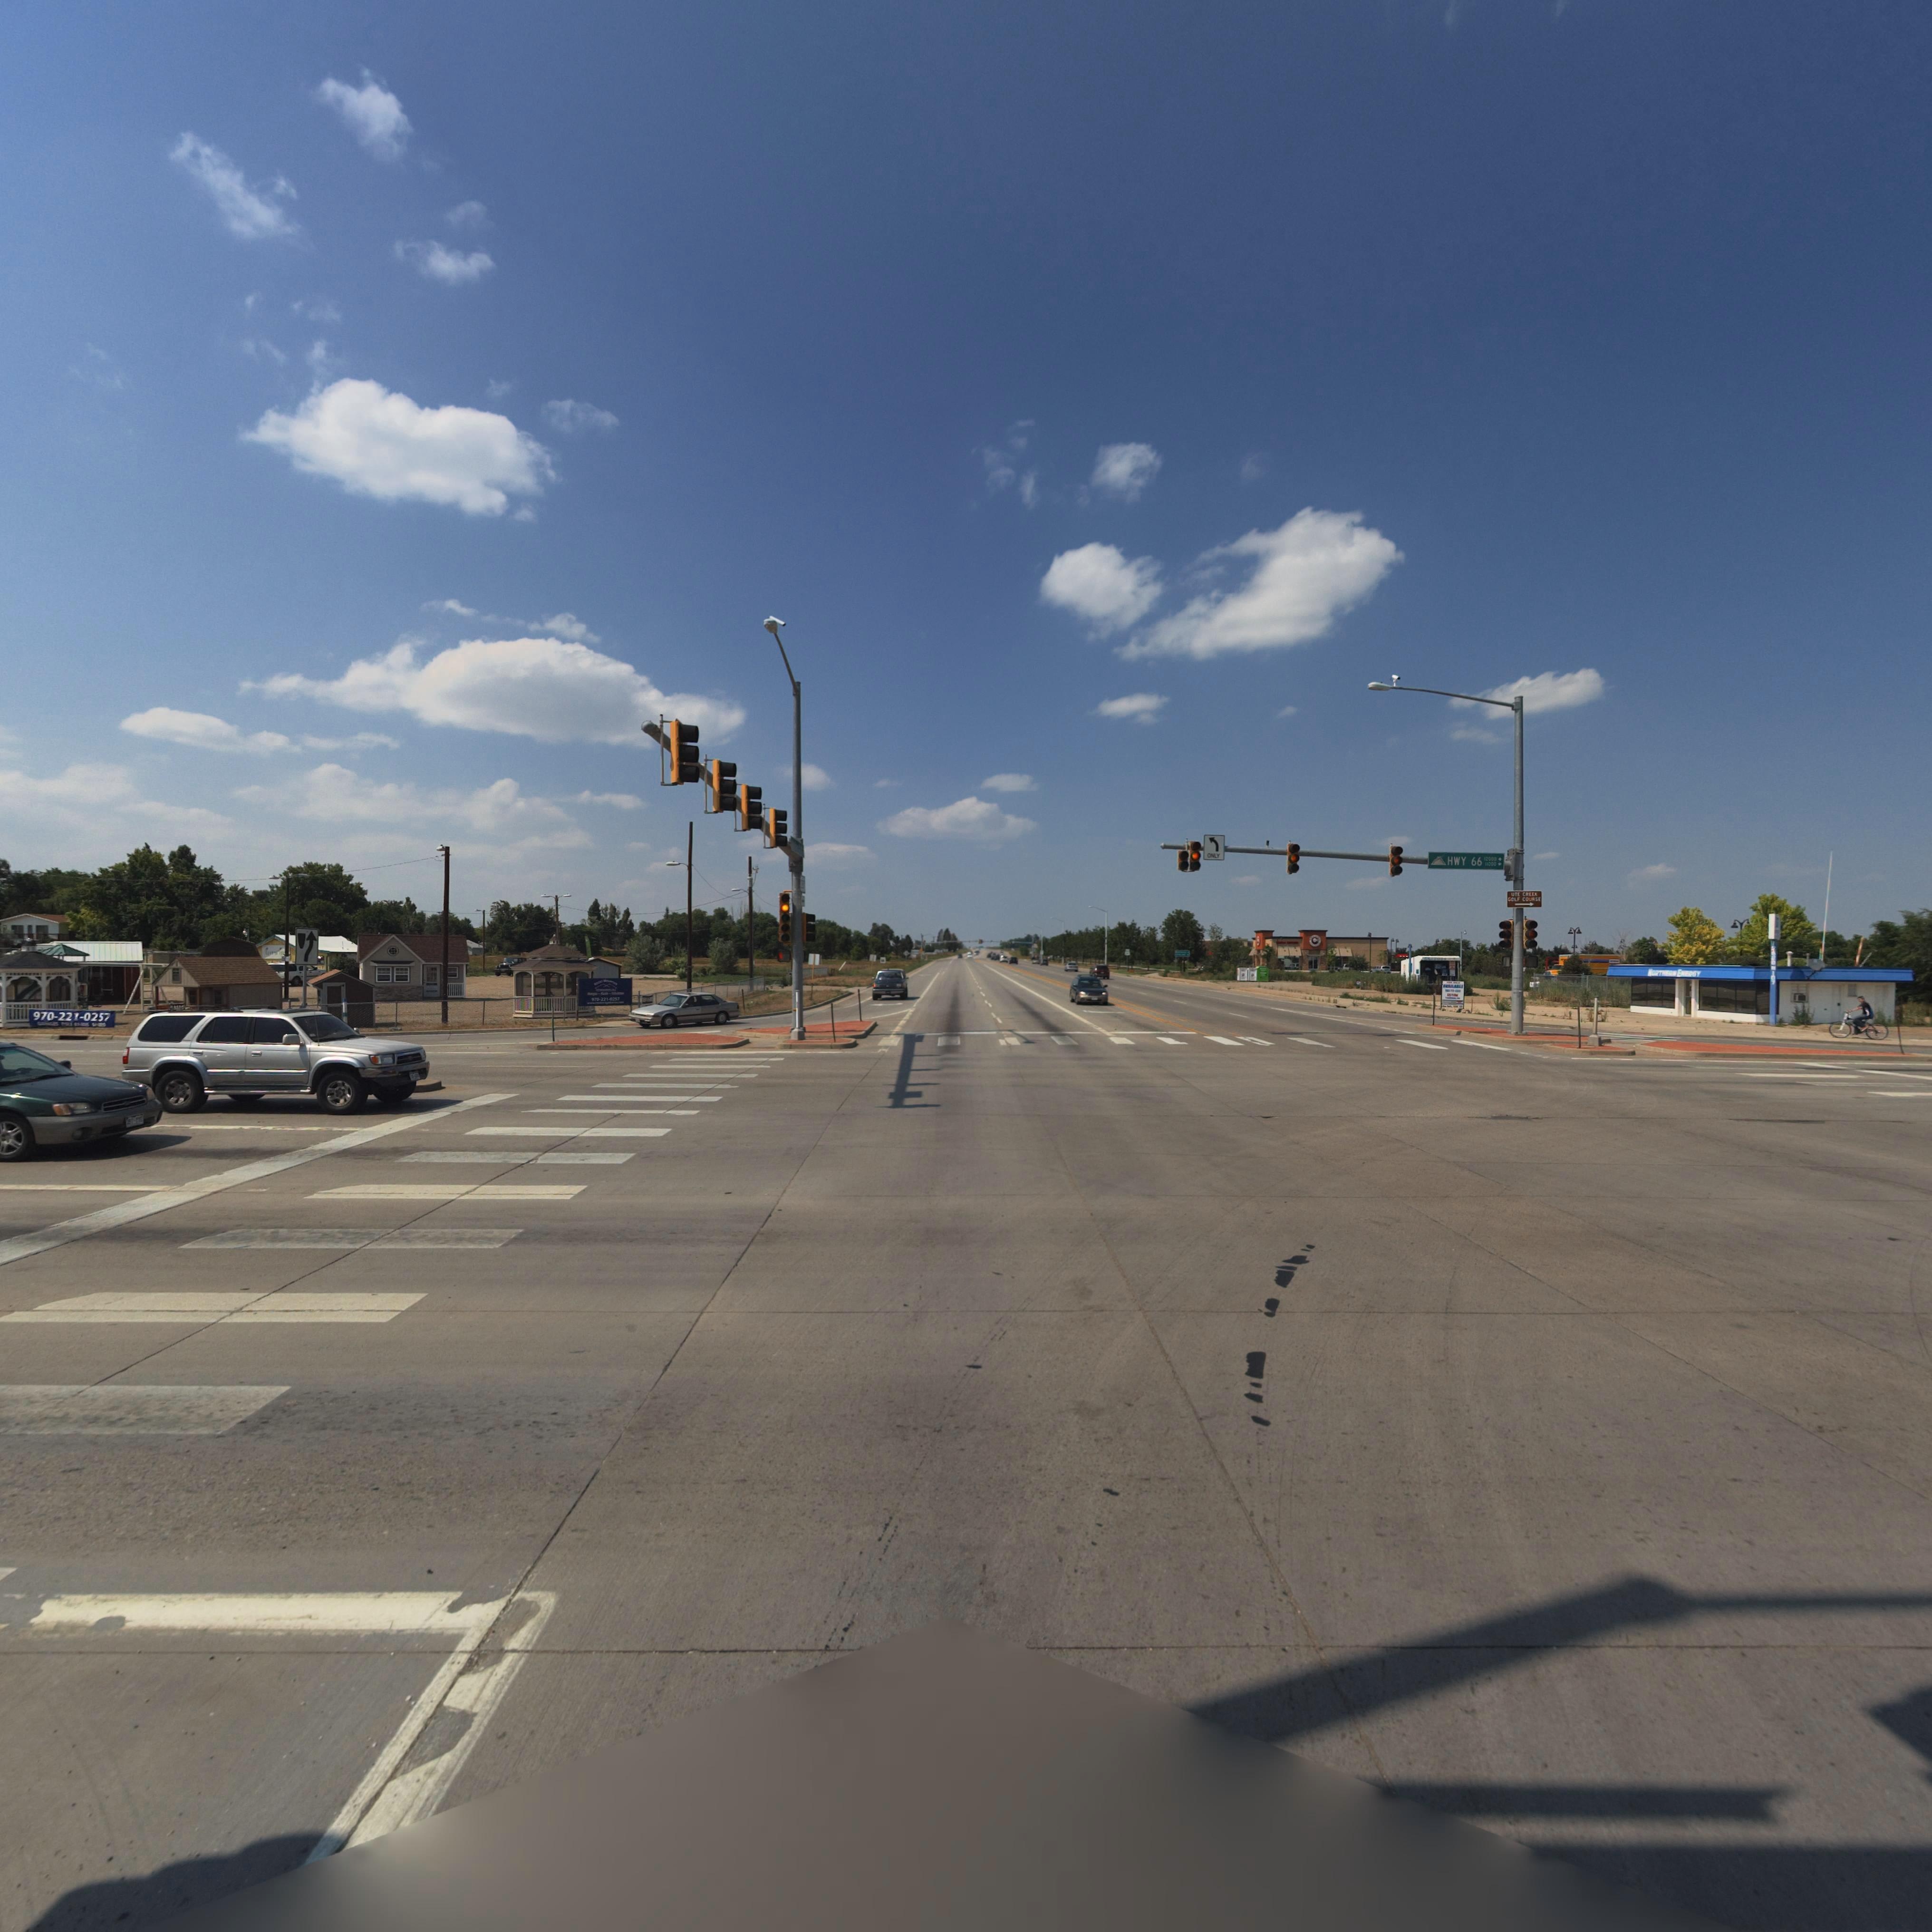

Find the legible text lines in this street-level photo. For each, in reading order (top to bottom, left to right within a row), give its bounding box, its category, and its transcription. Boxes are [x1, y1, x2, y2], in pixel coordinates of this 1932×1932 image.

[1447, 856, 1482, 866] StreetName: HWY 66
[1483, 856, 1497, 861] StreetNumberRange: 12000
[1485, 861, 1501, 866] StreetNumberRange: 1**00->
[1647, 968, 1702, 977] BusinessName: NORTHERN ENERGY